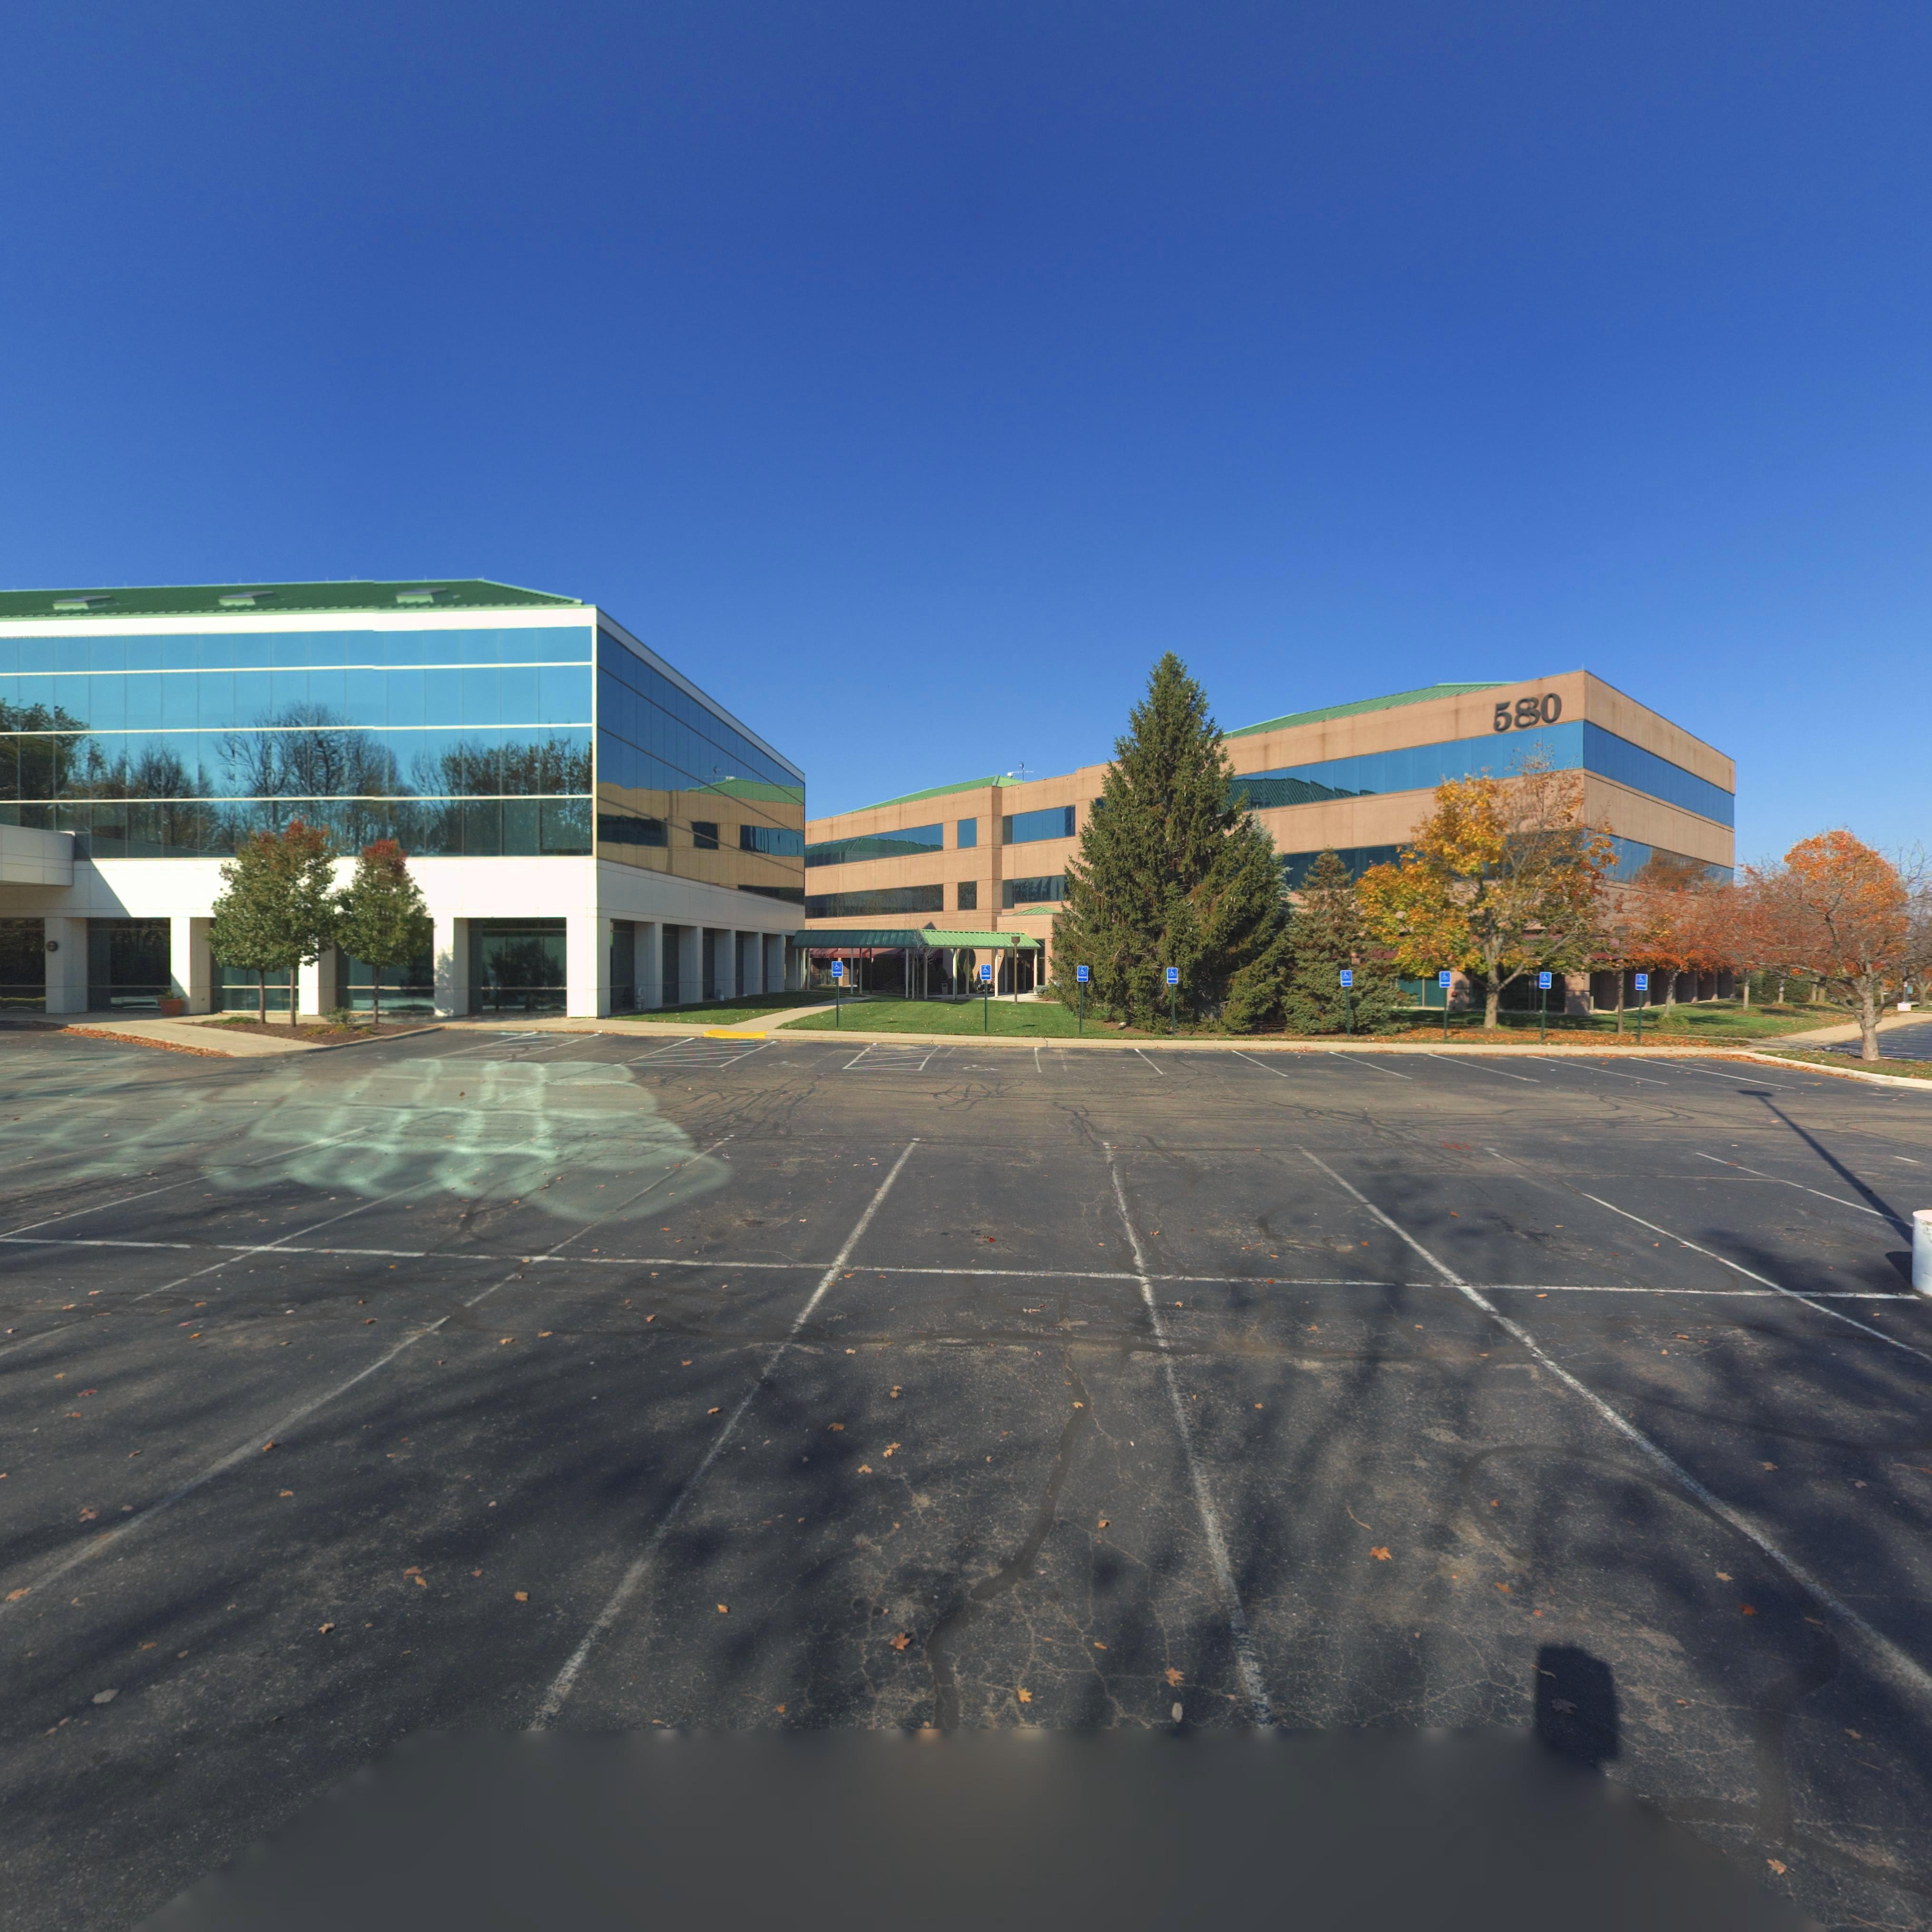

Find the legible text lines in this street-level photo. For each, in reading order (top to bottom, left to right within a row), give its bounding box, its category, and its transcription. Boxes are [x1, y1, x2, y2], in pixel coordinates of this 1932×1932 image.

[1493, 690, 1564, 733] StreetNumber: 5*0